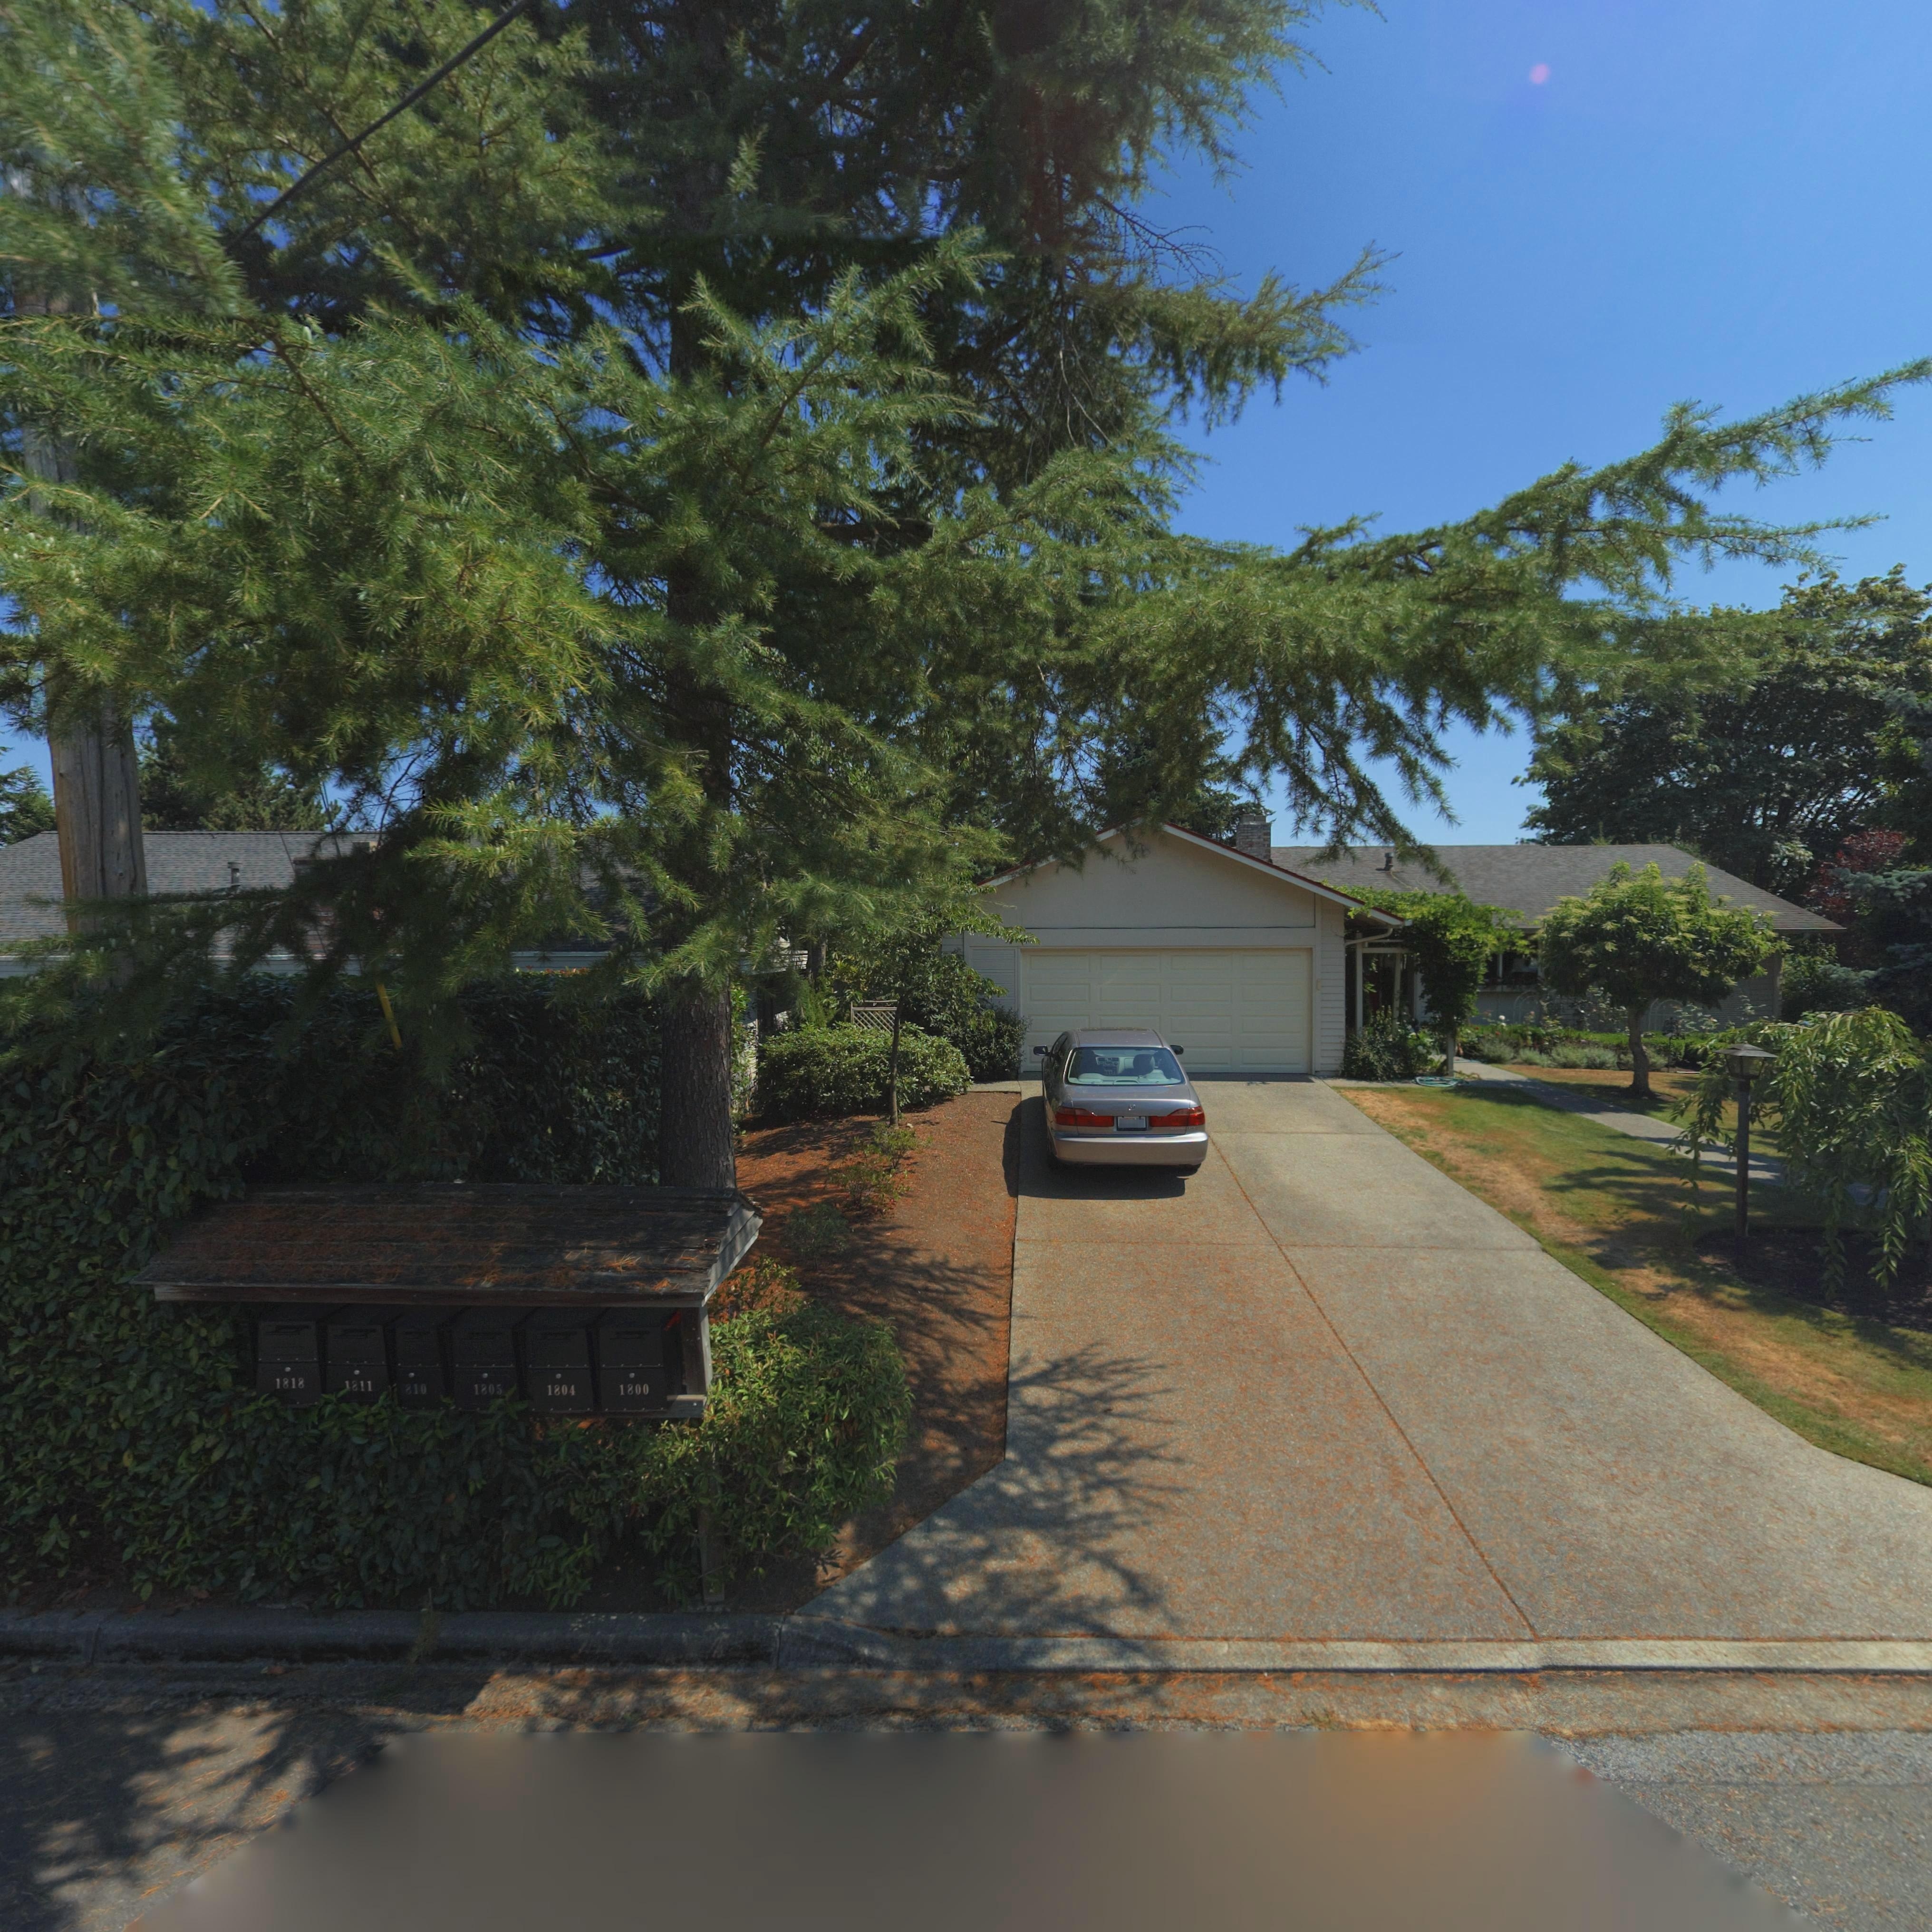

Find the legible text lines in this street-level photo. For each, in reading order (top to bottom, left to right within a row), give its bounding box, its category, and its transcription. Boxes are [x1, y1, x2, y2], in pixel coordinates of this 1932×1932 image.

[274, 1377, 306, 1390] StreetNumber: 1818
[345, 1380, 372, 1392] StreetNumber: 1811
[406, 1383, 427, 1395] StreetNumber: 810
[474, 1383, 502, 1395] StreetNumber: 1805
[547, 1384, 576, 1396] StreetNumber: 1804
[618, 1383, 649, 1397] StreetNumber: 1800